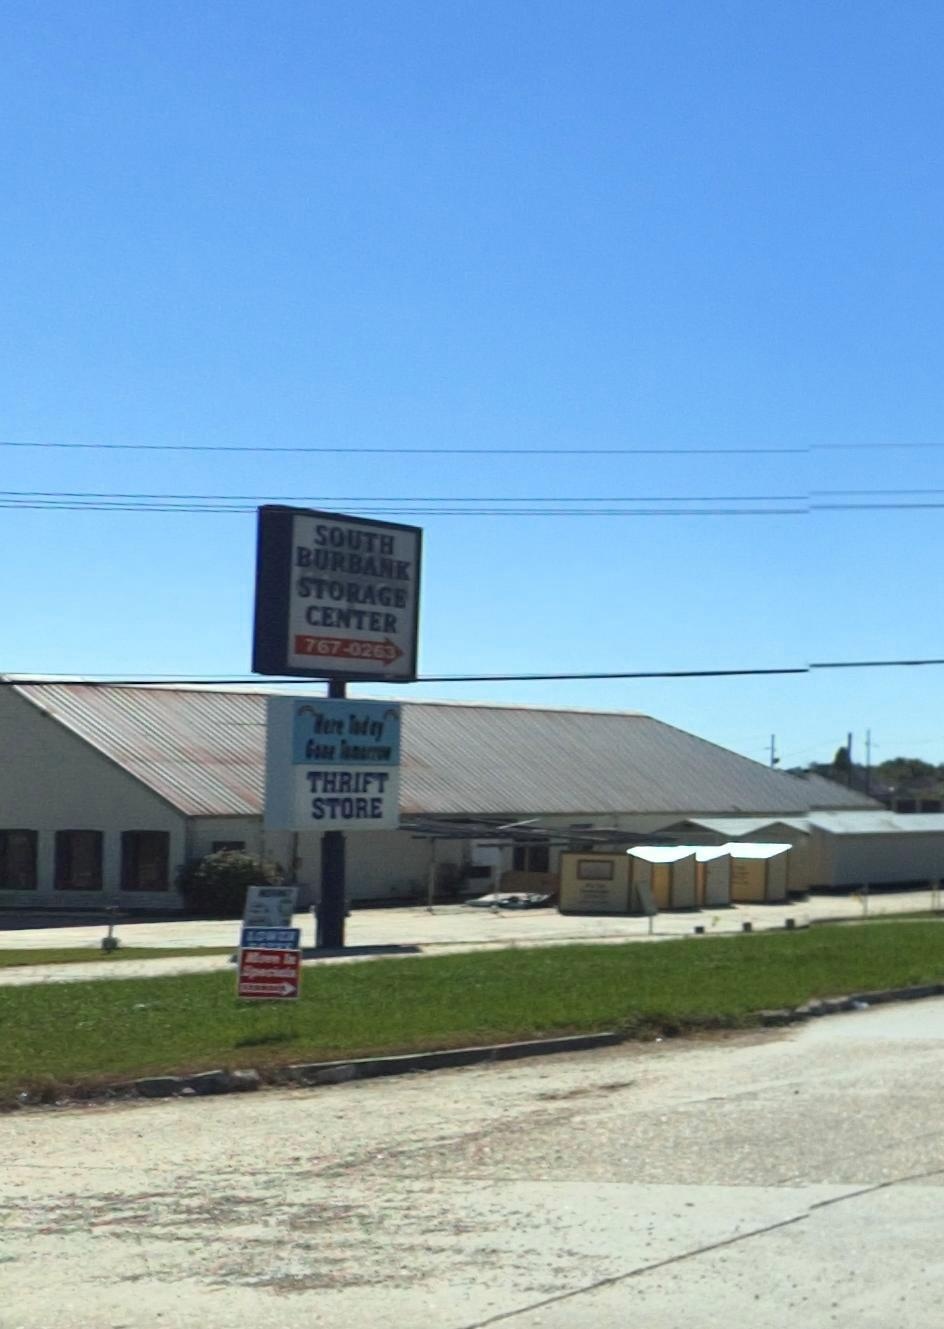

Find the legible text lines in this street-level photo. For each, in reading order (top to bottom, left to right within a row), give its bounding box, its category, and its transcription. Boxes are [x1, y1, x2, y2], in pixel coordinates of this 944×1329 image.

[313, 523, 396, 557] BusinessName: SOUTH
[296, 545, 414, 583] BusinessName: BURBANK
[297, 575, 410, 610] BusinessName: STORAGE
[305, 604, 398, 634] BusinessName: CENTER
[304, 637, 397, 660] None: 767-0263
[312, 713, 385, 742] BusinessName: Here Today
[304, 738, 393, 762] BusinessName: Gone T***rrow
[305, 771, 390, 794] None: THRIFT
[310, 796, 384, 820] None: STORE
[245, 930, 298, 942] None: LOWER
[244, 951, 298, 965] None: Mo** in
[241, 965, 296, 980] None: Sp*ci*ls